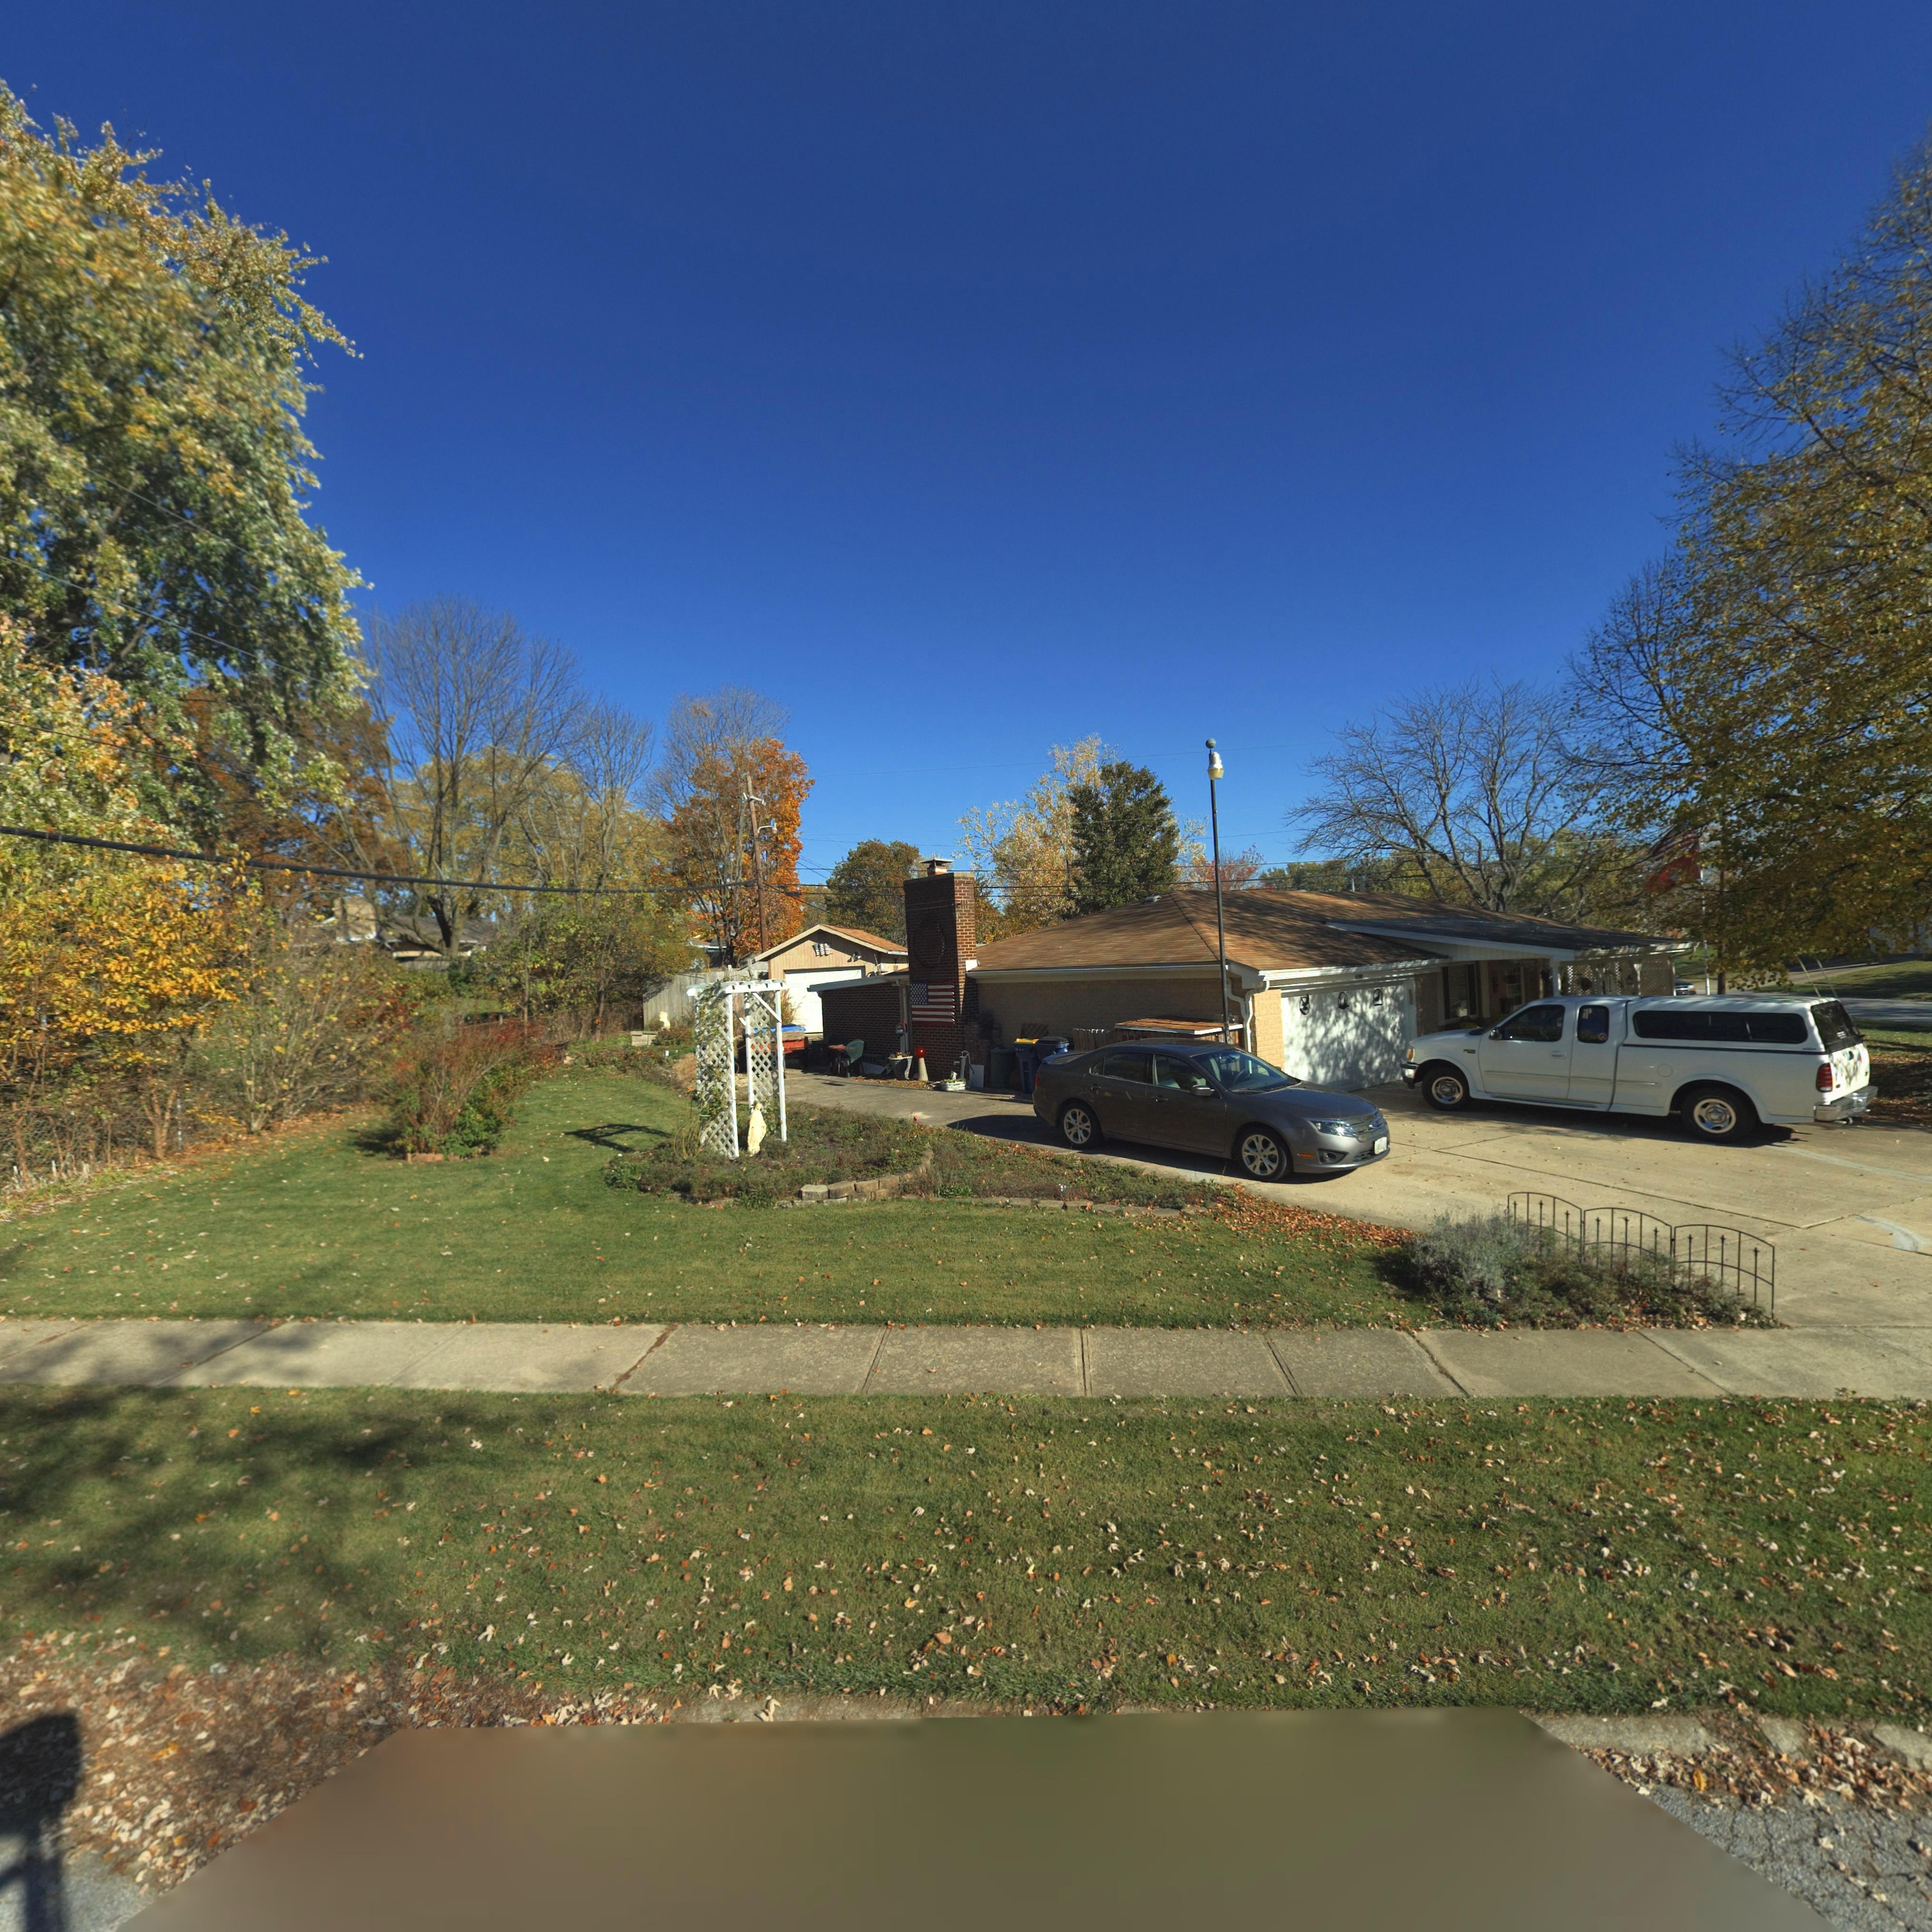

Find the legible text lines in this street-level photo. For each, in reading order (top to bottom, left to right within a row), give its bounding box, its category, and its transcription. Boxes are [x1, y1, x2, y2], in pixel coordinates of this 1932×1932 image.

[1355, 973, 1363, 980] StreetNumber: 6***